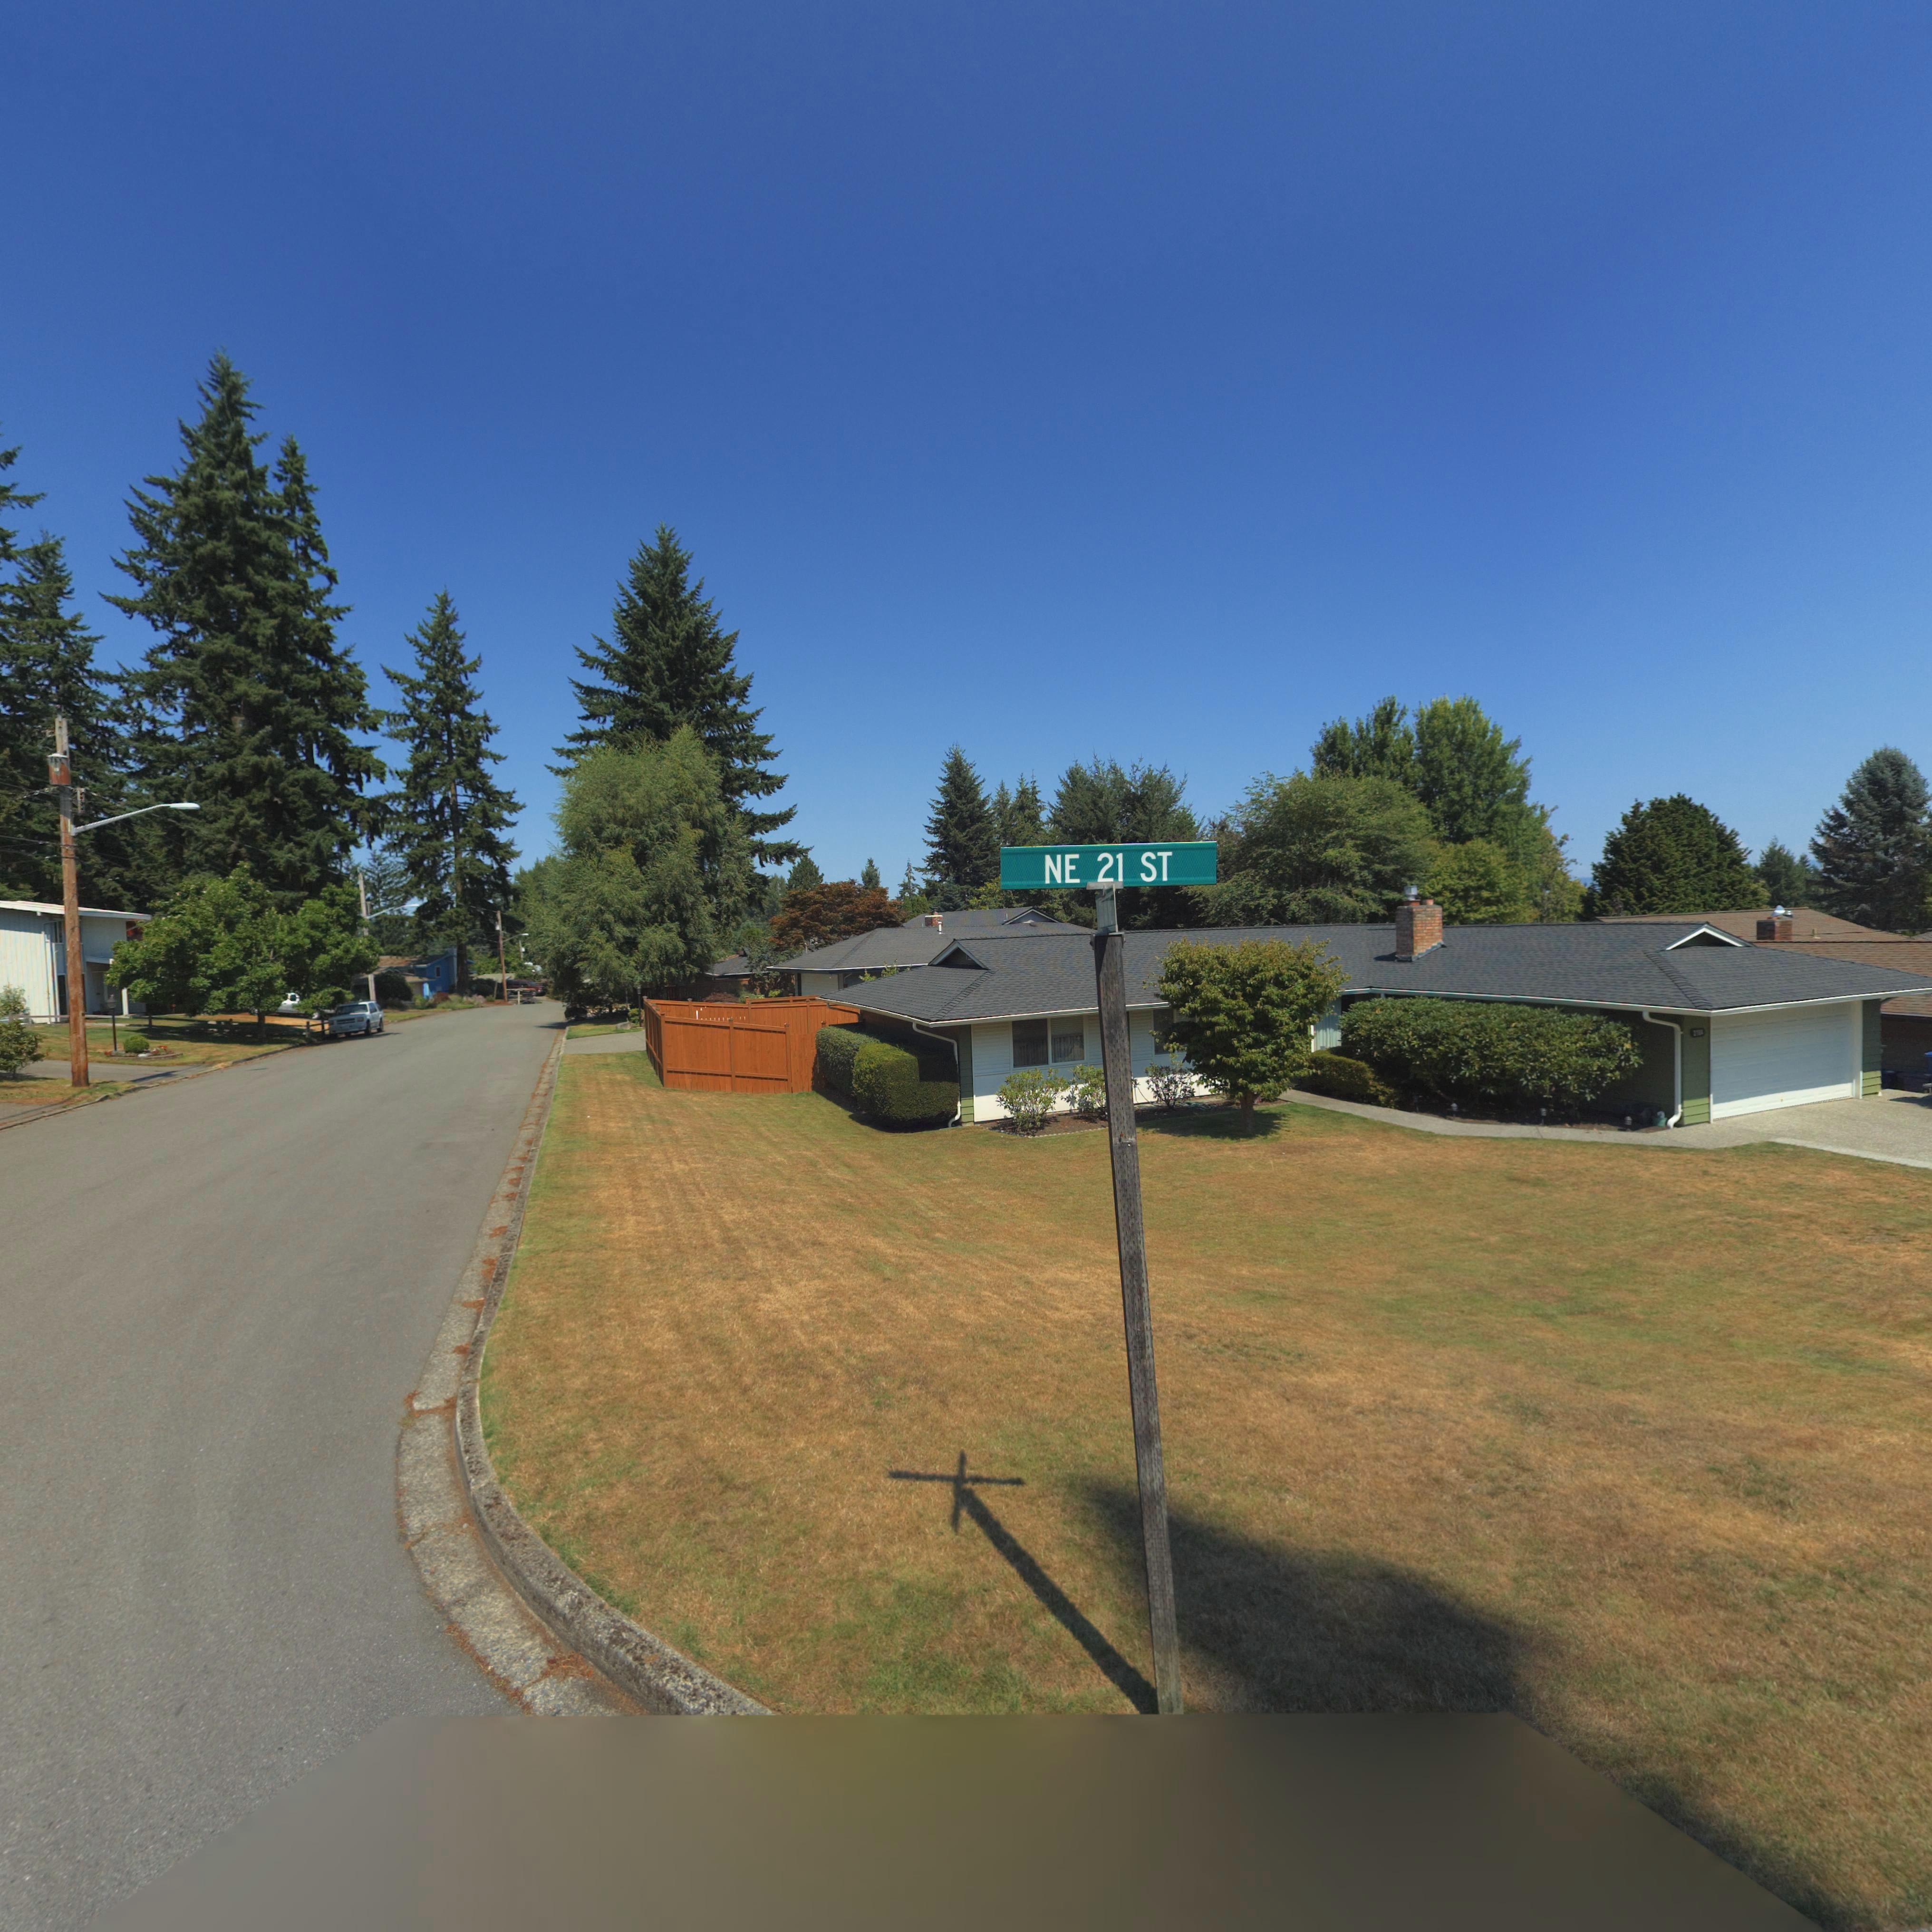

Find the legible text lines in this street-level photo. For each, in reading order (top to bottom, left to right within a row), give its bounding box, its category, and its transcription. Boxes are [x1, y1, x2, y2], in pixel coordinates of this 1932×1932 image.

[1043, 851, 1176, 883] StreetName: NE 21 ST